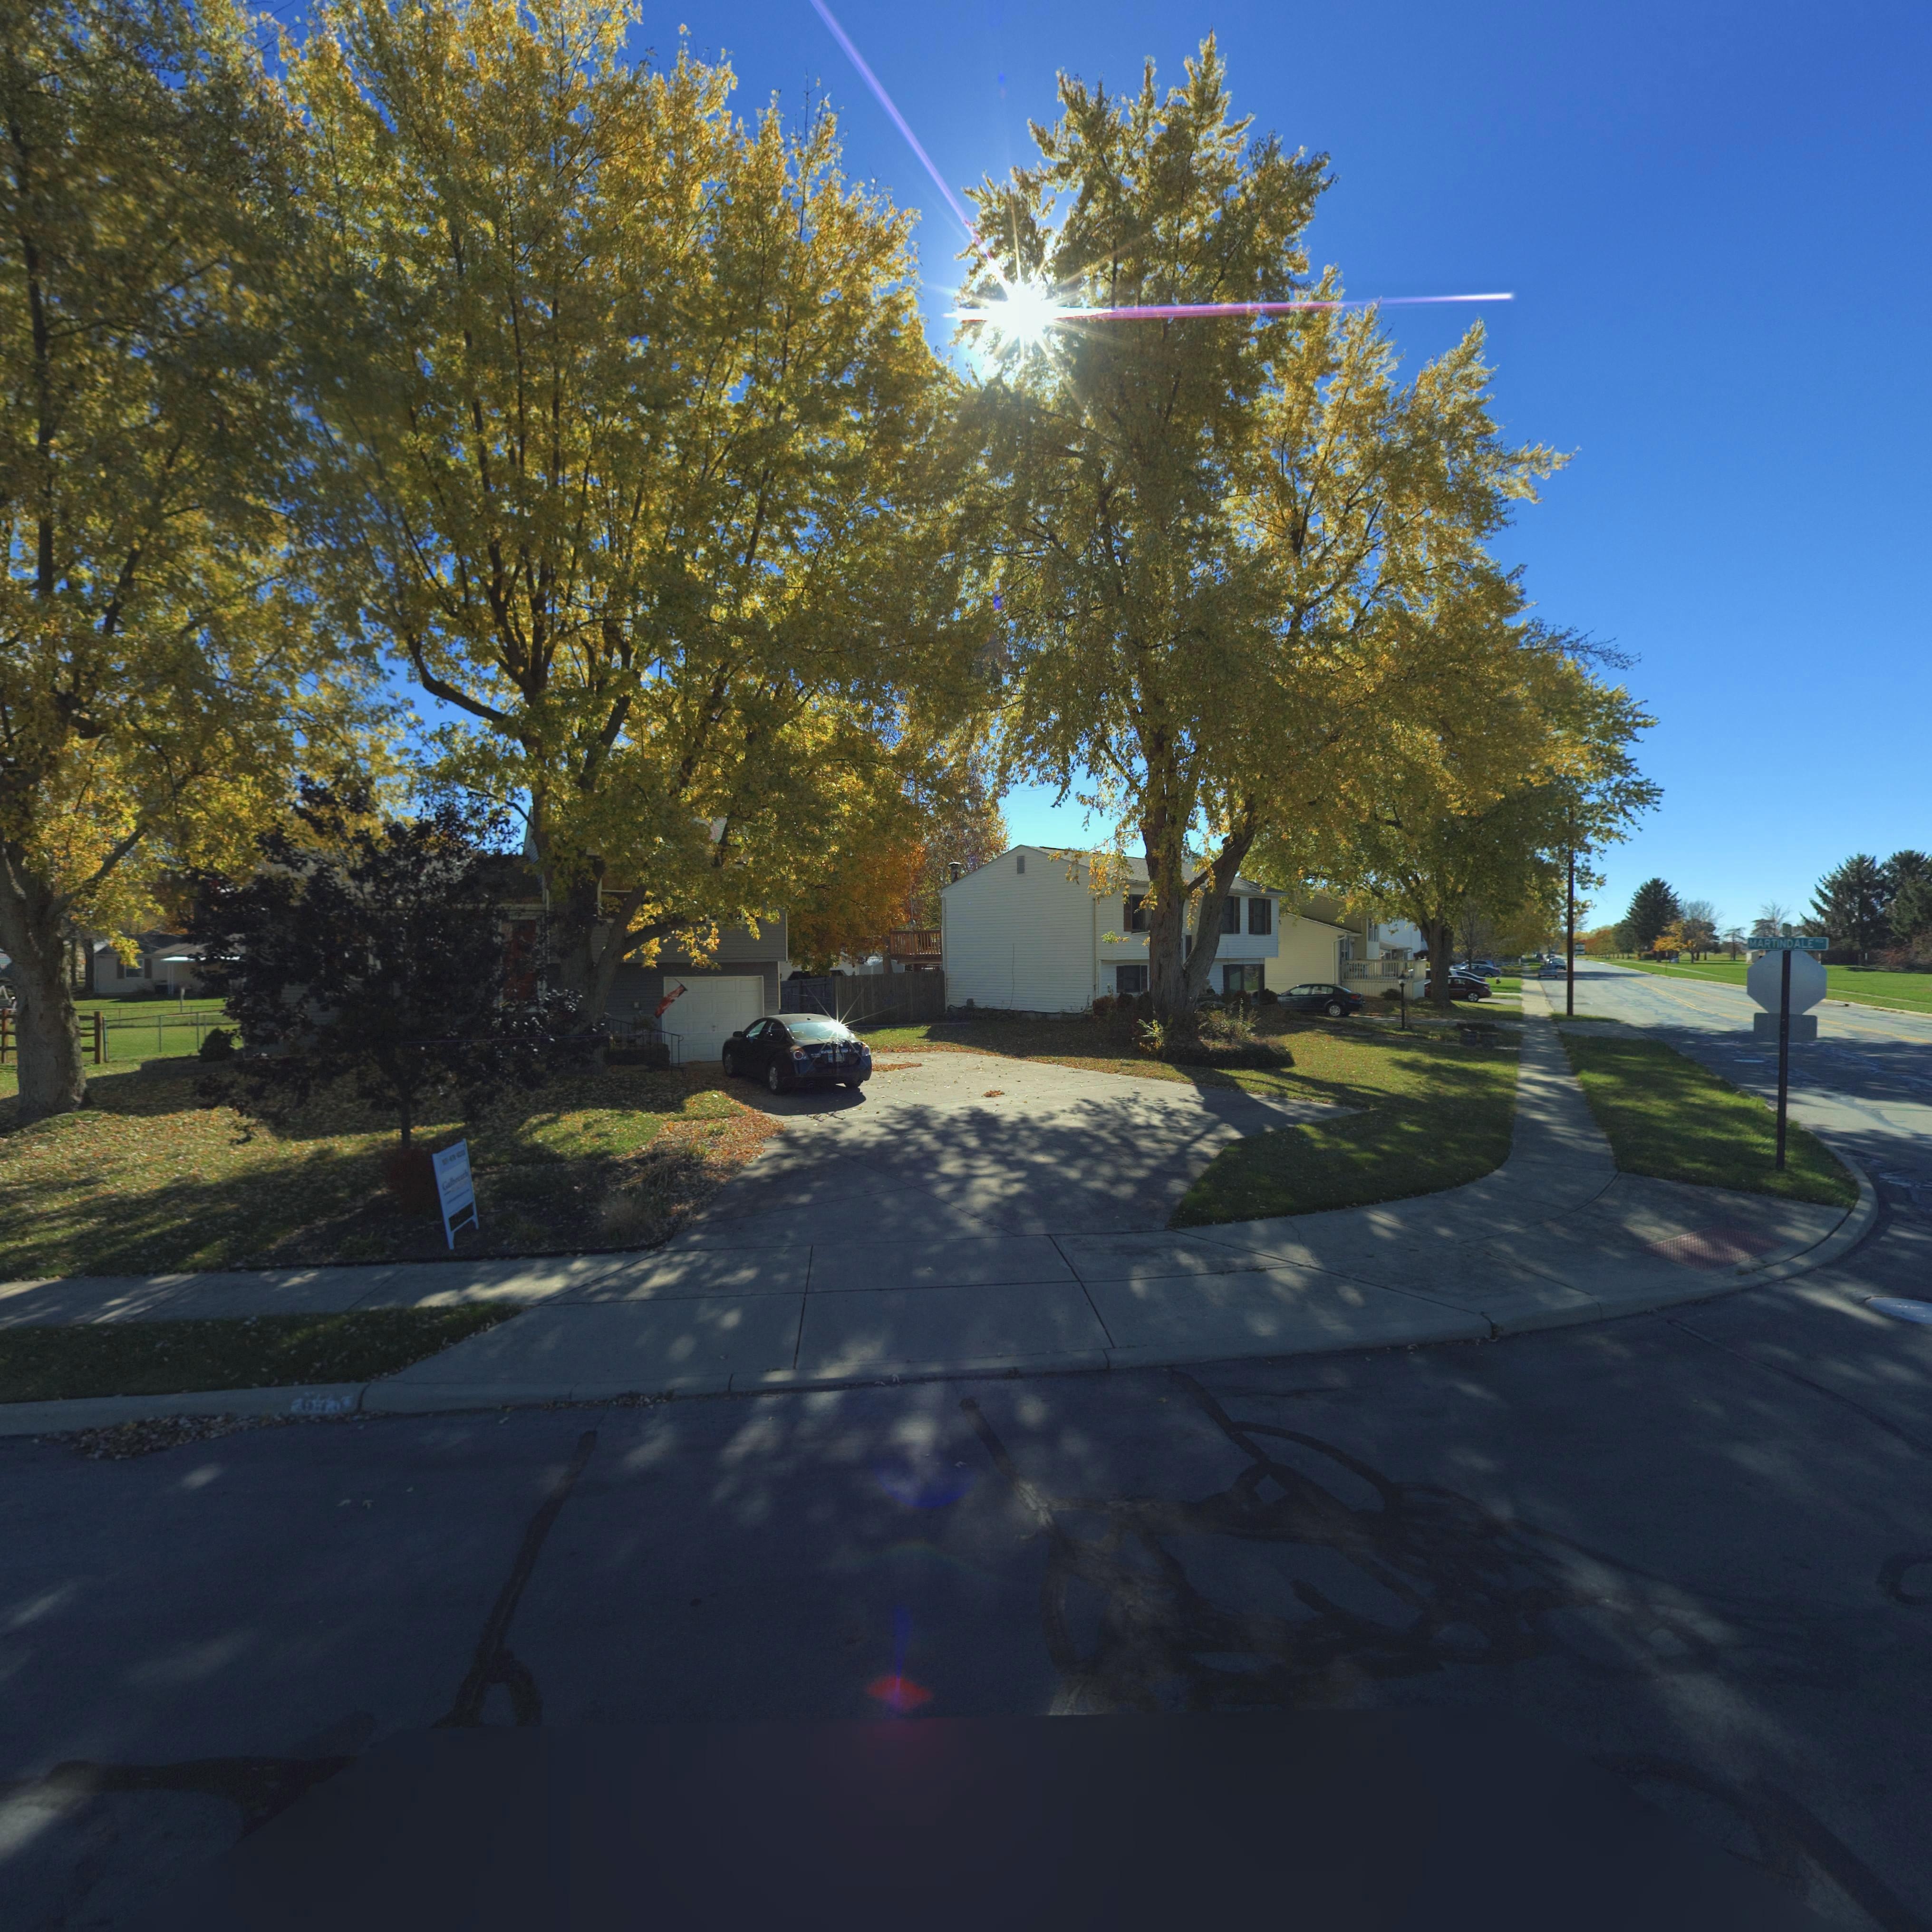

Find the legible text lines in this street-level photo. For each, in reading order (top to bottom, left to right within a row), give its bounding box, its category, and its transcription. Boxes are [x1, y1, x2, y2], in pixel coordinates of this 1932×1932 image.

[1747, 937, 1816, 950] StreetName: MARTINDALE
[299, 1393, 347, 1414] StreetNumber: 675